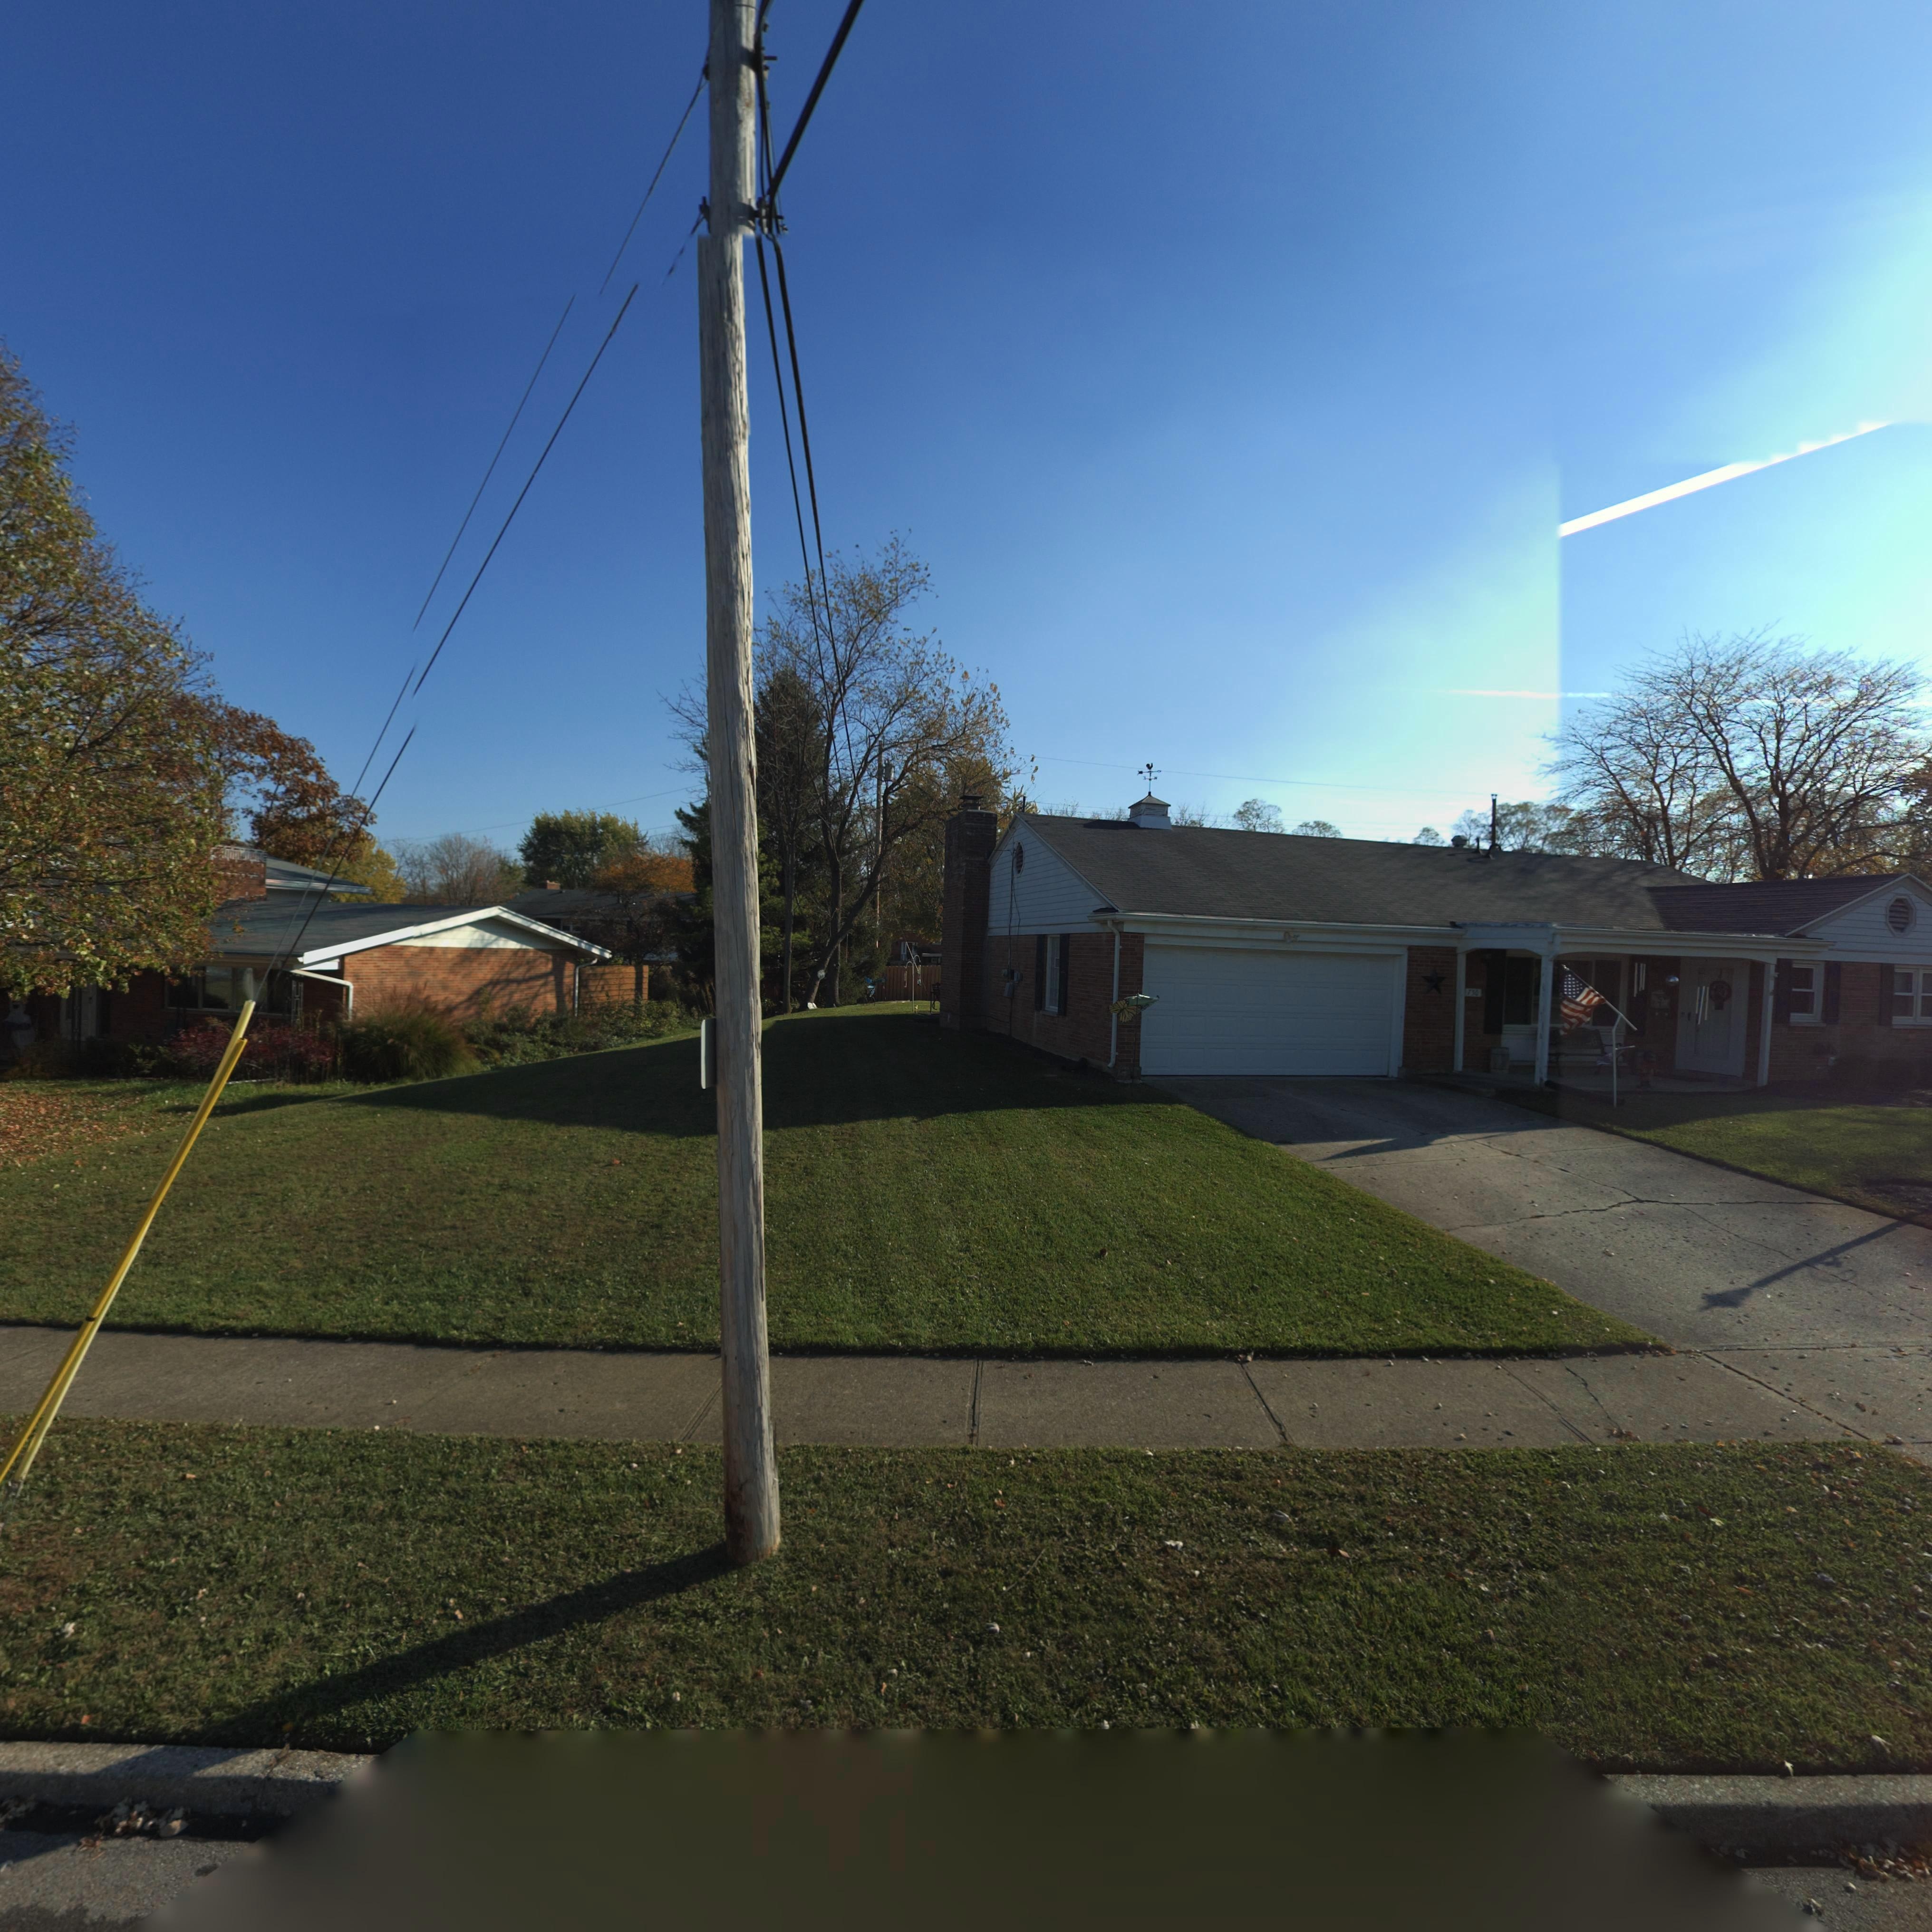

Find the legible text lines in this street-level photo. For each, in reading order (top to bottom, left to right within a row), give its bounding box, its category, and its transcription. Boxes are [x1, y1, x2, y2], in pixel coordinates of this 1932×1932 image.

[1466, 989, 1479, 996] StreetNumber: 750